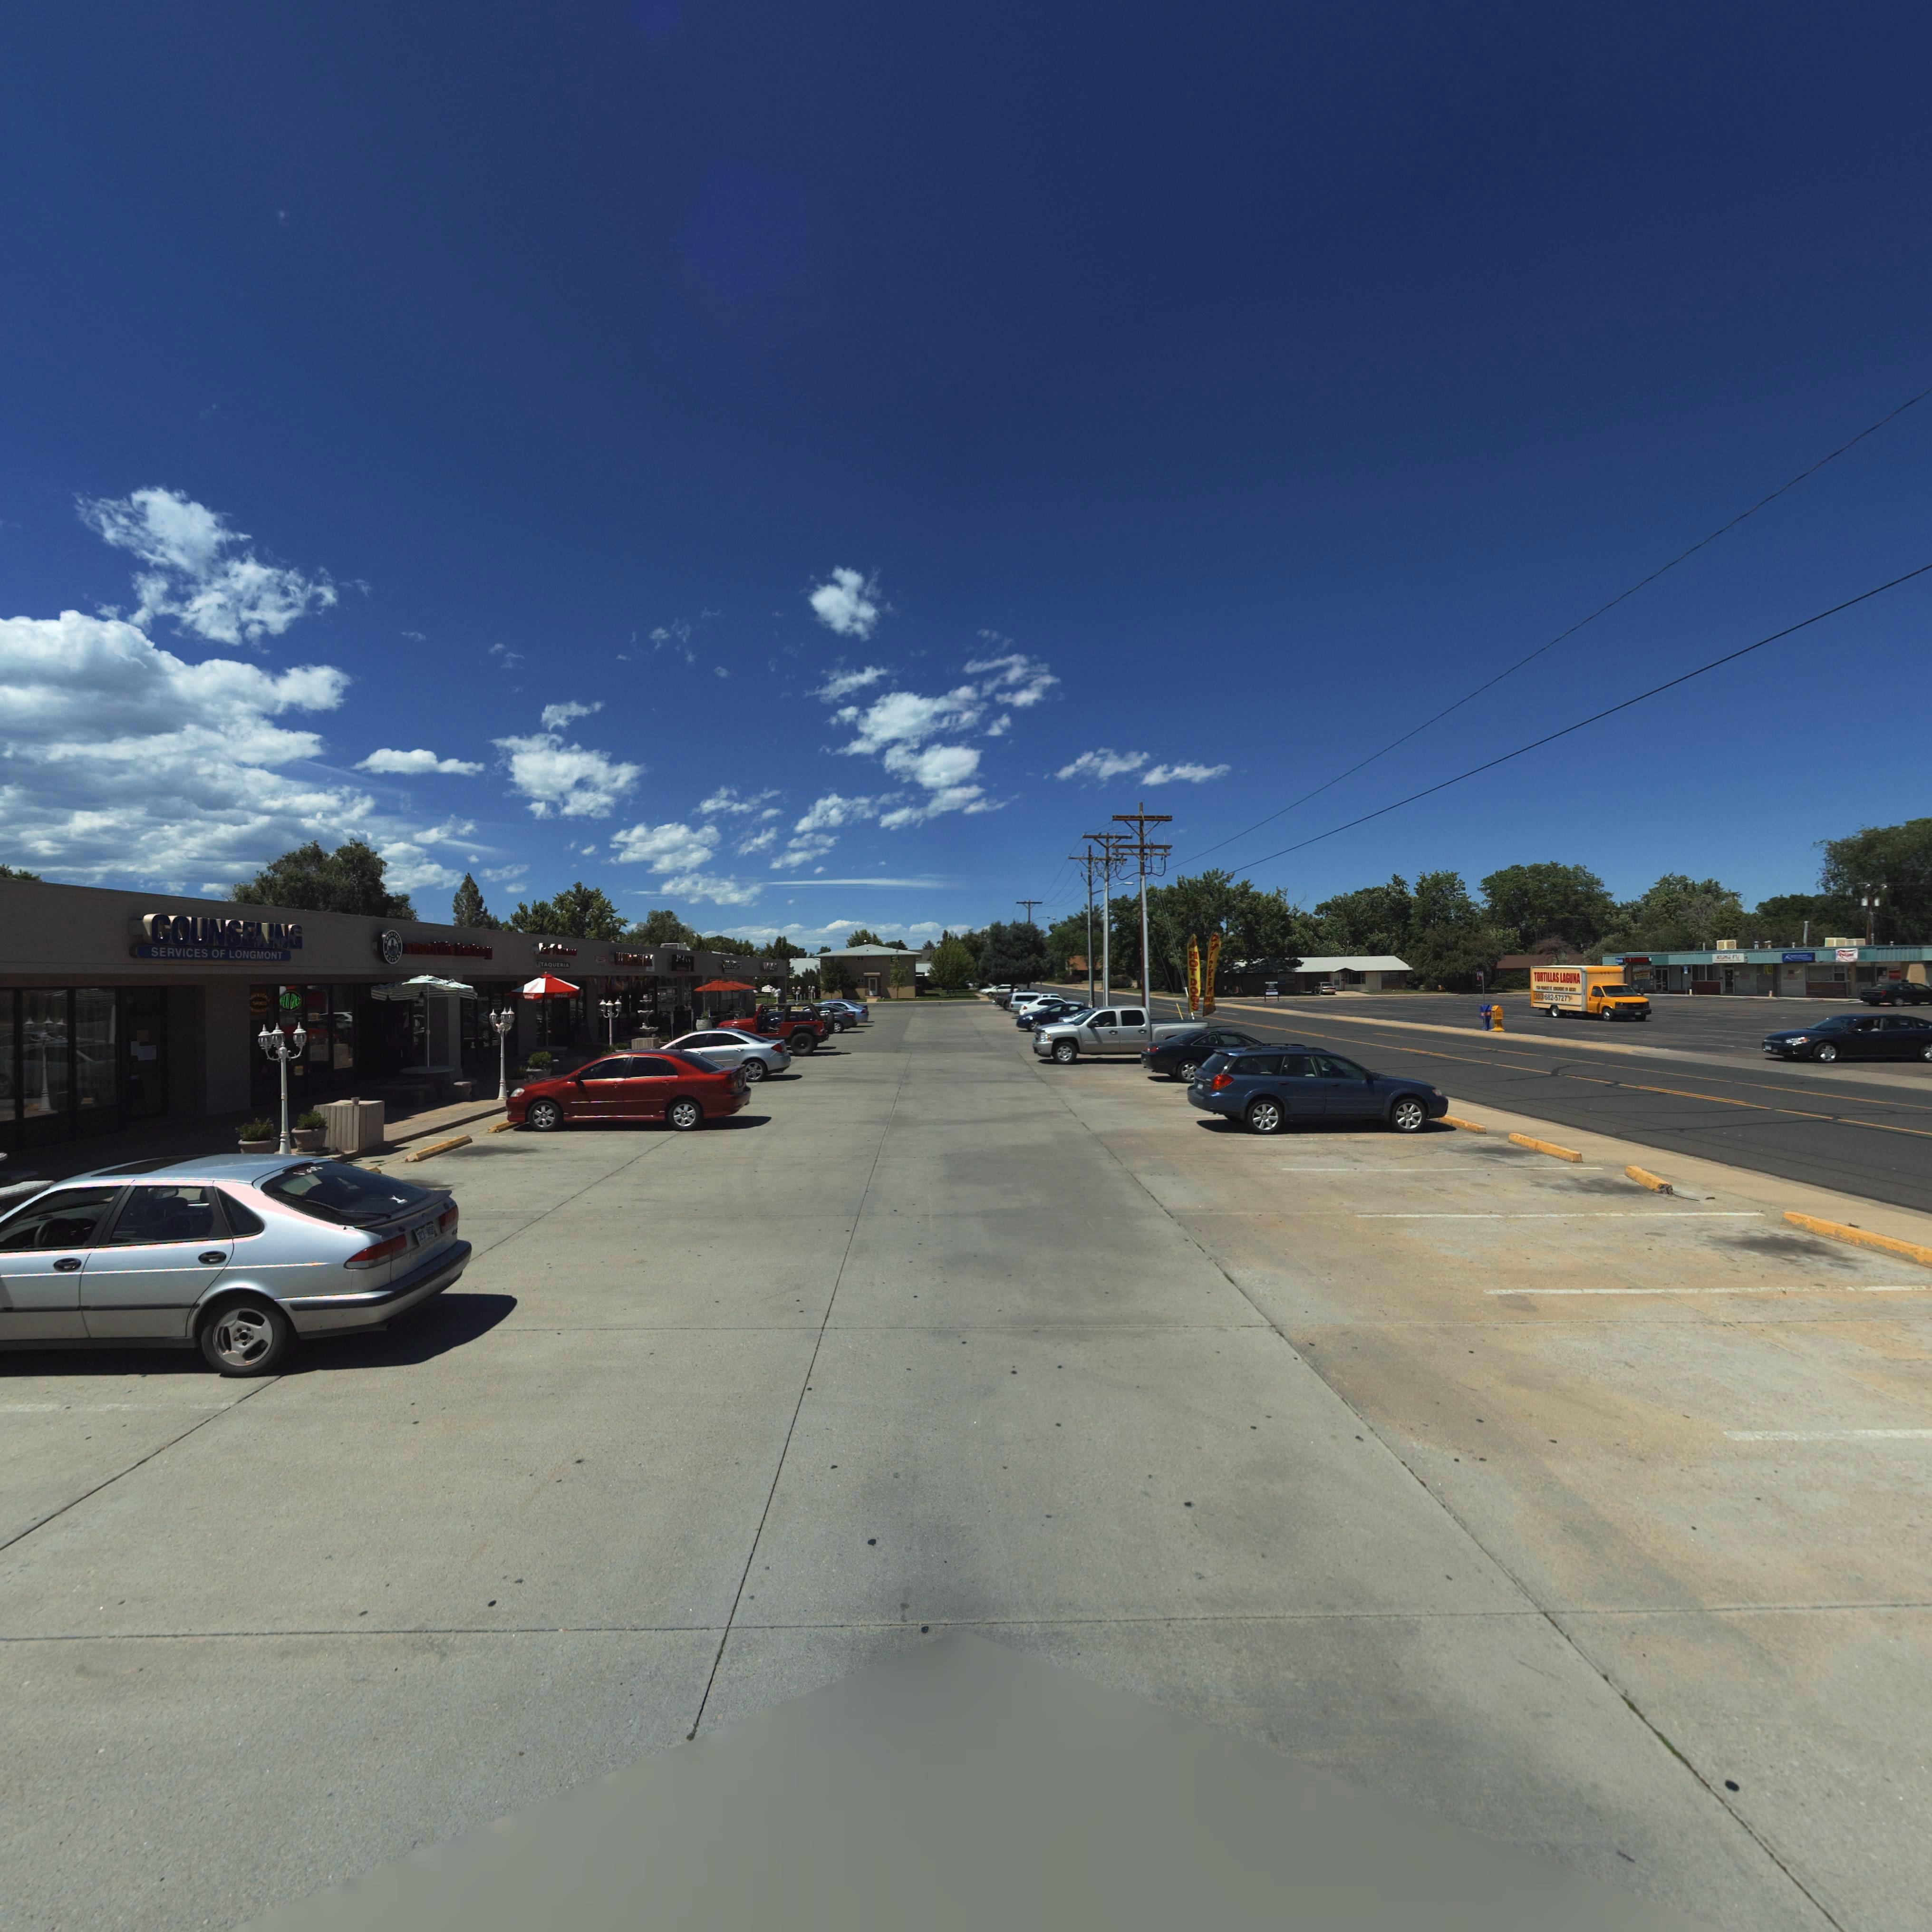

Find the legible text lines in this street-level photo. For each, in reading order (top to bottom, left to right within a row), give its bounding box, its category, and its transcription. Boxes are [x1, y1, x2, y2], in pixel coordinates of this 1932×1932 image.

[149, 912, 304, 951] BusinessName: COUNSELING
[384, 931, 401, 944] BusinessName: **OOTHI*
[150, 946, 284, 960] BusinessName: SERVICES OF LONGMONT
[384, 950, 401, 962] BusinessName: FACTORY
[405, 940, 493, 959] BusinessName: smoothiE FActory
[540, 962, 569, 967] BusinessName: TAQUERIA
[537, 942, 578, 956] BusinessName: L** P*****
[615, 951, 654, 967] BusinessName: W**G SHACK
[671, 954, 695, 973] BusinessName: R*****
[1715, 954, 1740, 960] BusinessName: KUNG FU